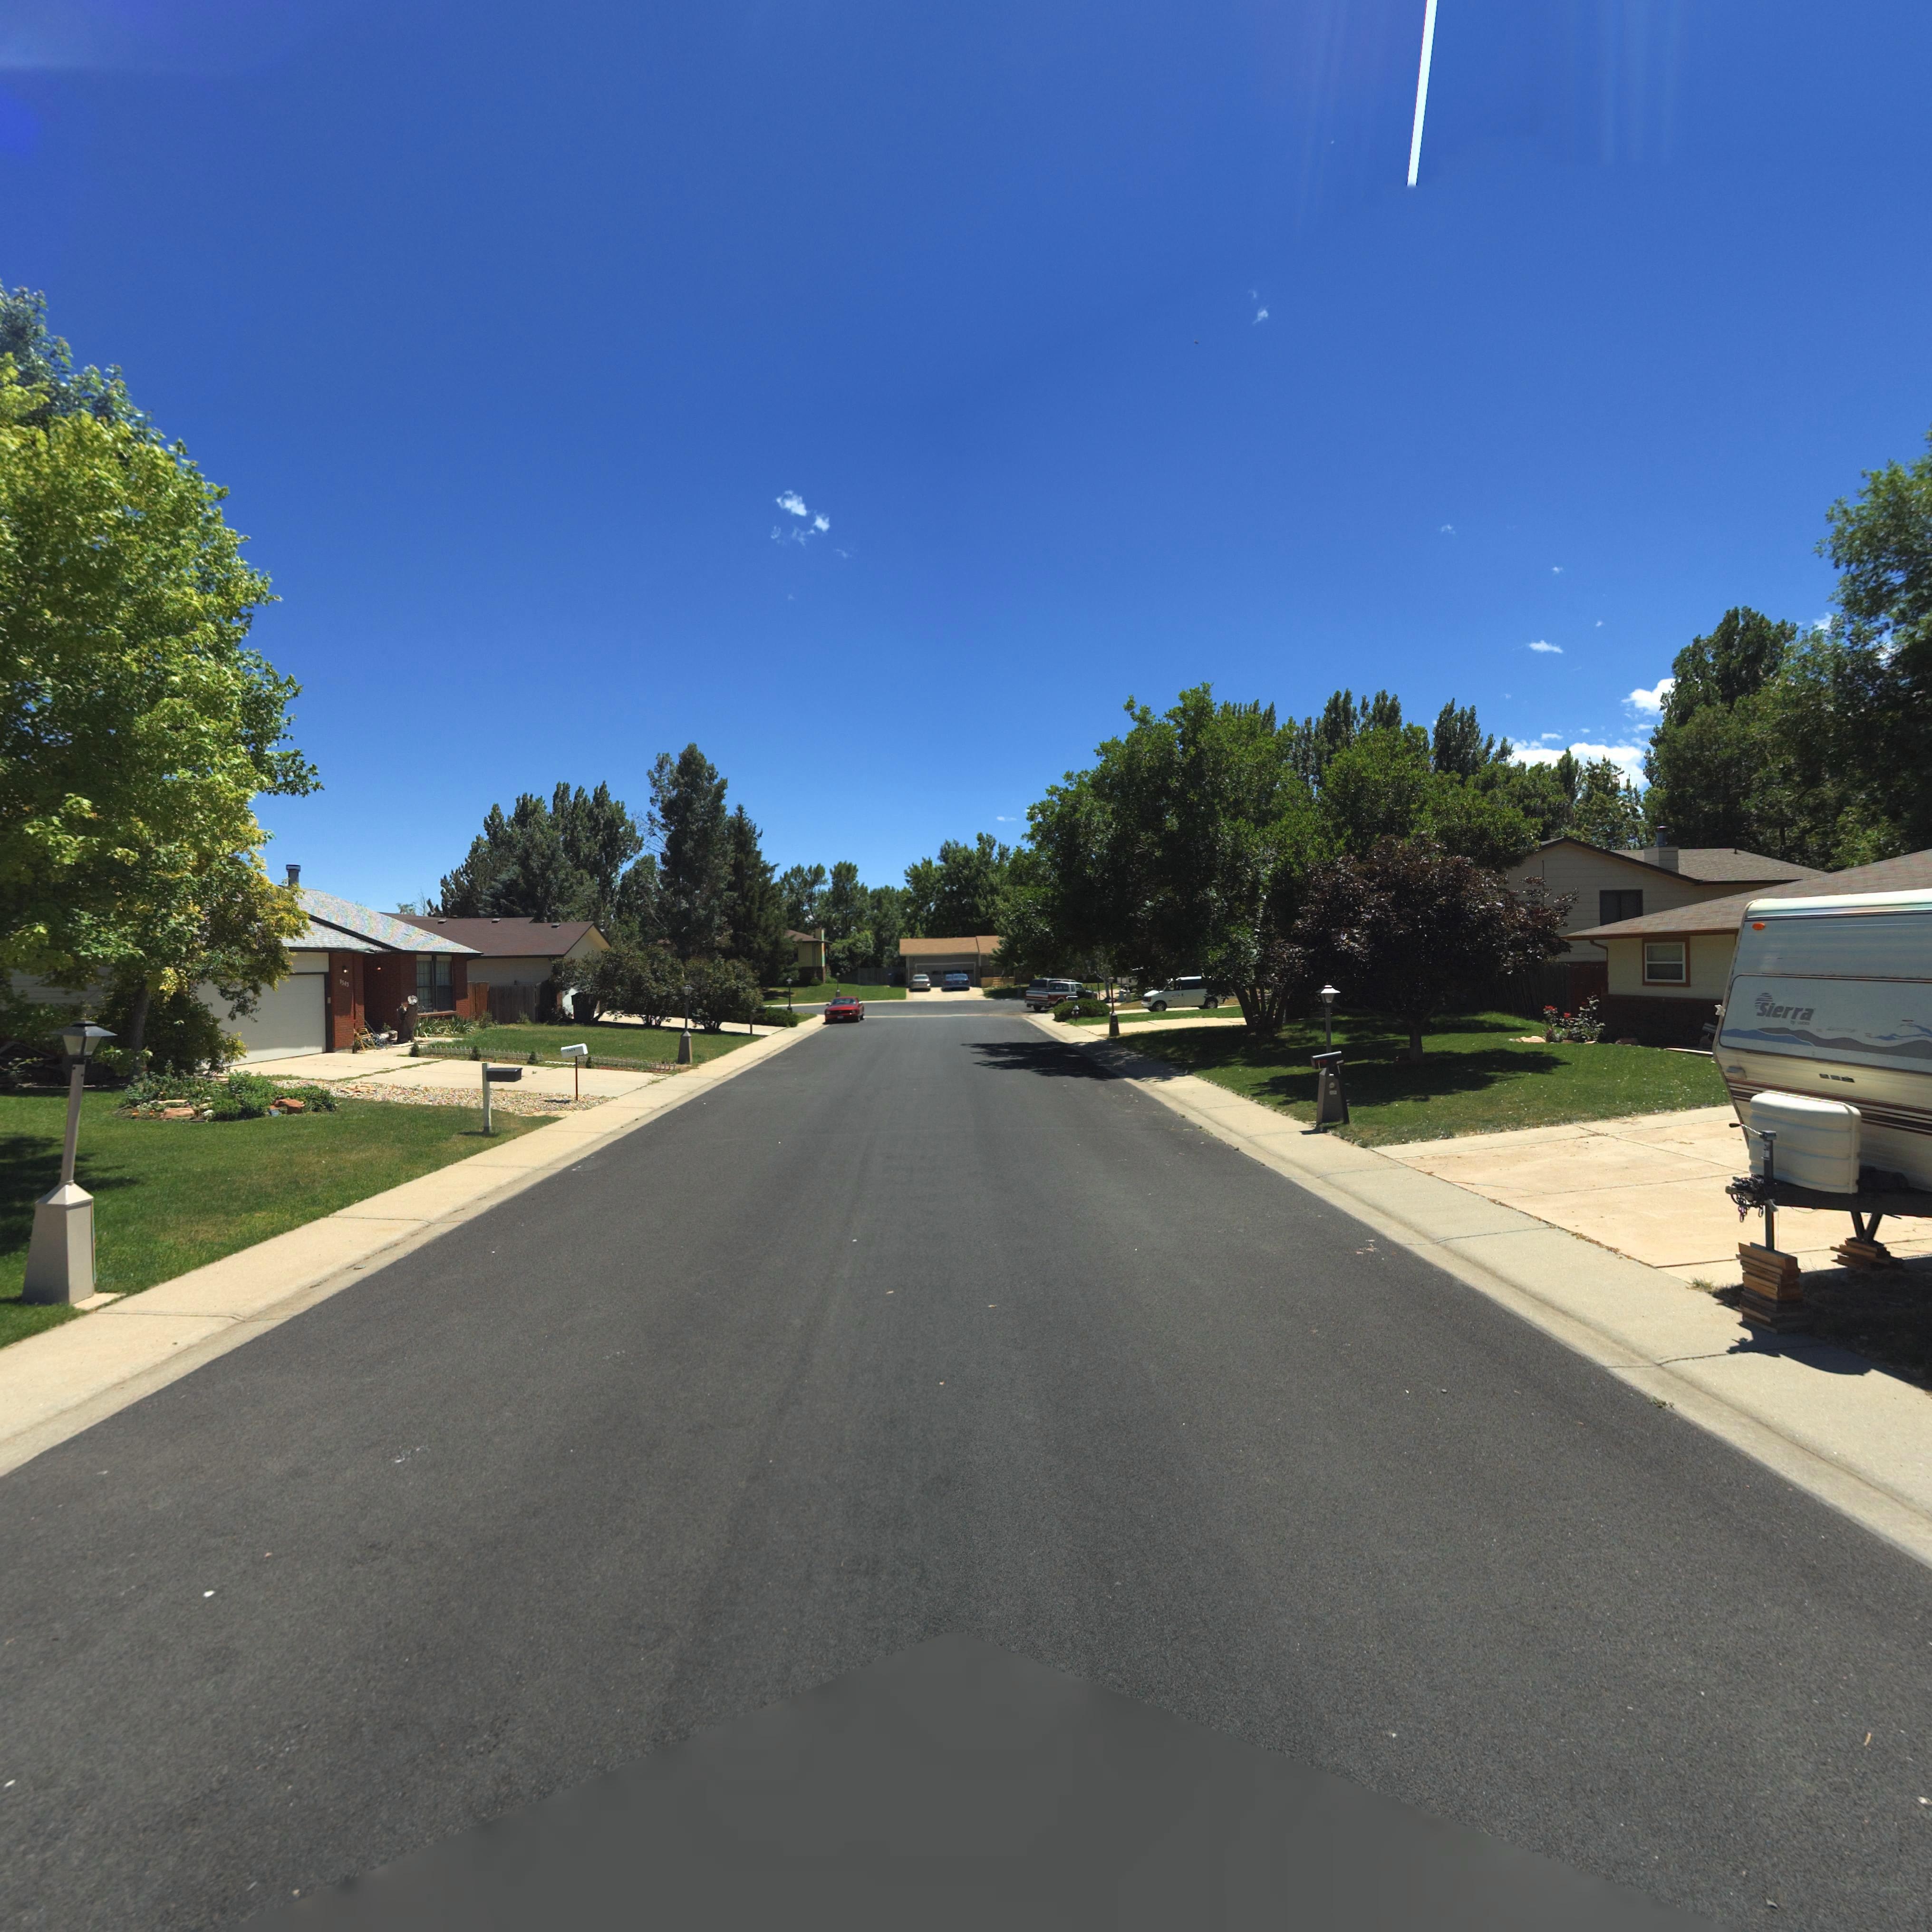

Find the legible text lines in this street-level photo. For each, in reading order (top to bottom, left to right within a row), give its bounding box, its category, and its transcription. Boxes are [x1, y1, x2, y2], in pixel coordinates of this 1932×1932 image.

[339, 978, 349, 987] StreetNumber: 13**